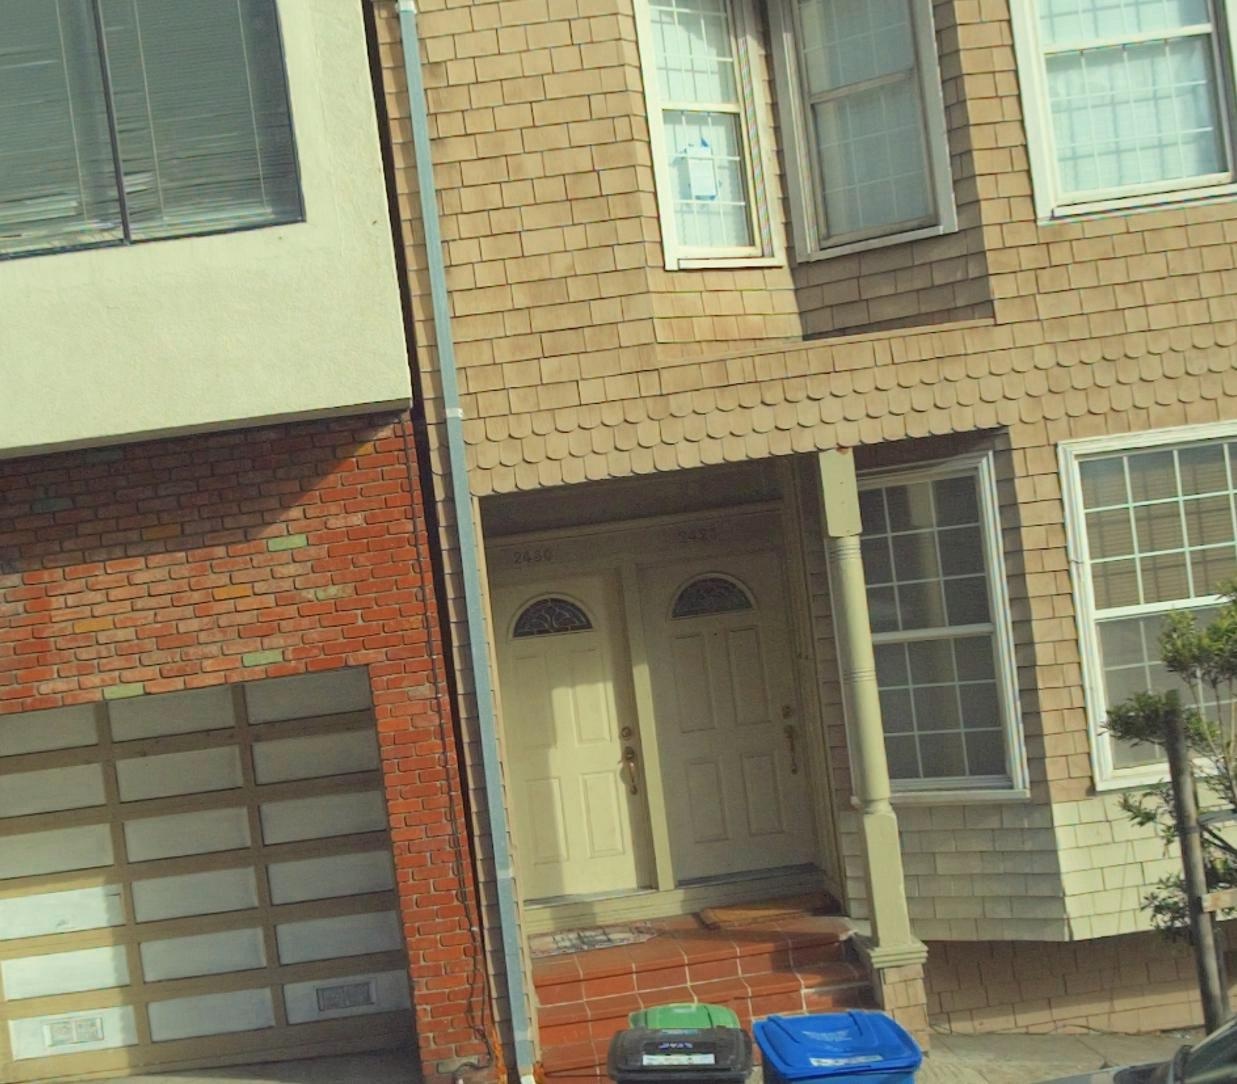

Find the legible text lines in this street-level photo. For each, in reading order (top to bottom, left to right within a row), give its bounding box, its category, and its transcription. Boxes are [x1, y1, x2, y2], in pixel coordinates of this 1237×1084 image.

[674, 523, 720, 548] StreetNumber: 2423
[511, 546, 555, 568] StreetNumber: 2430